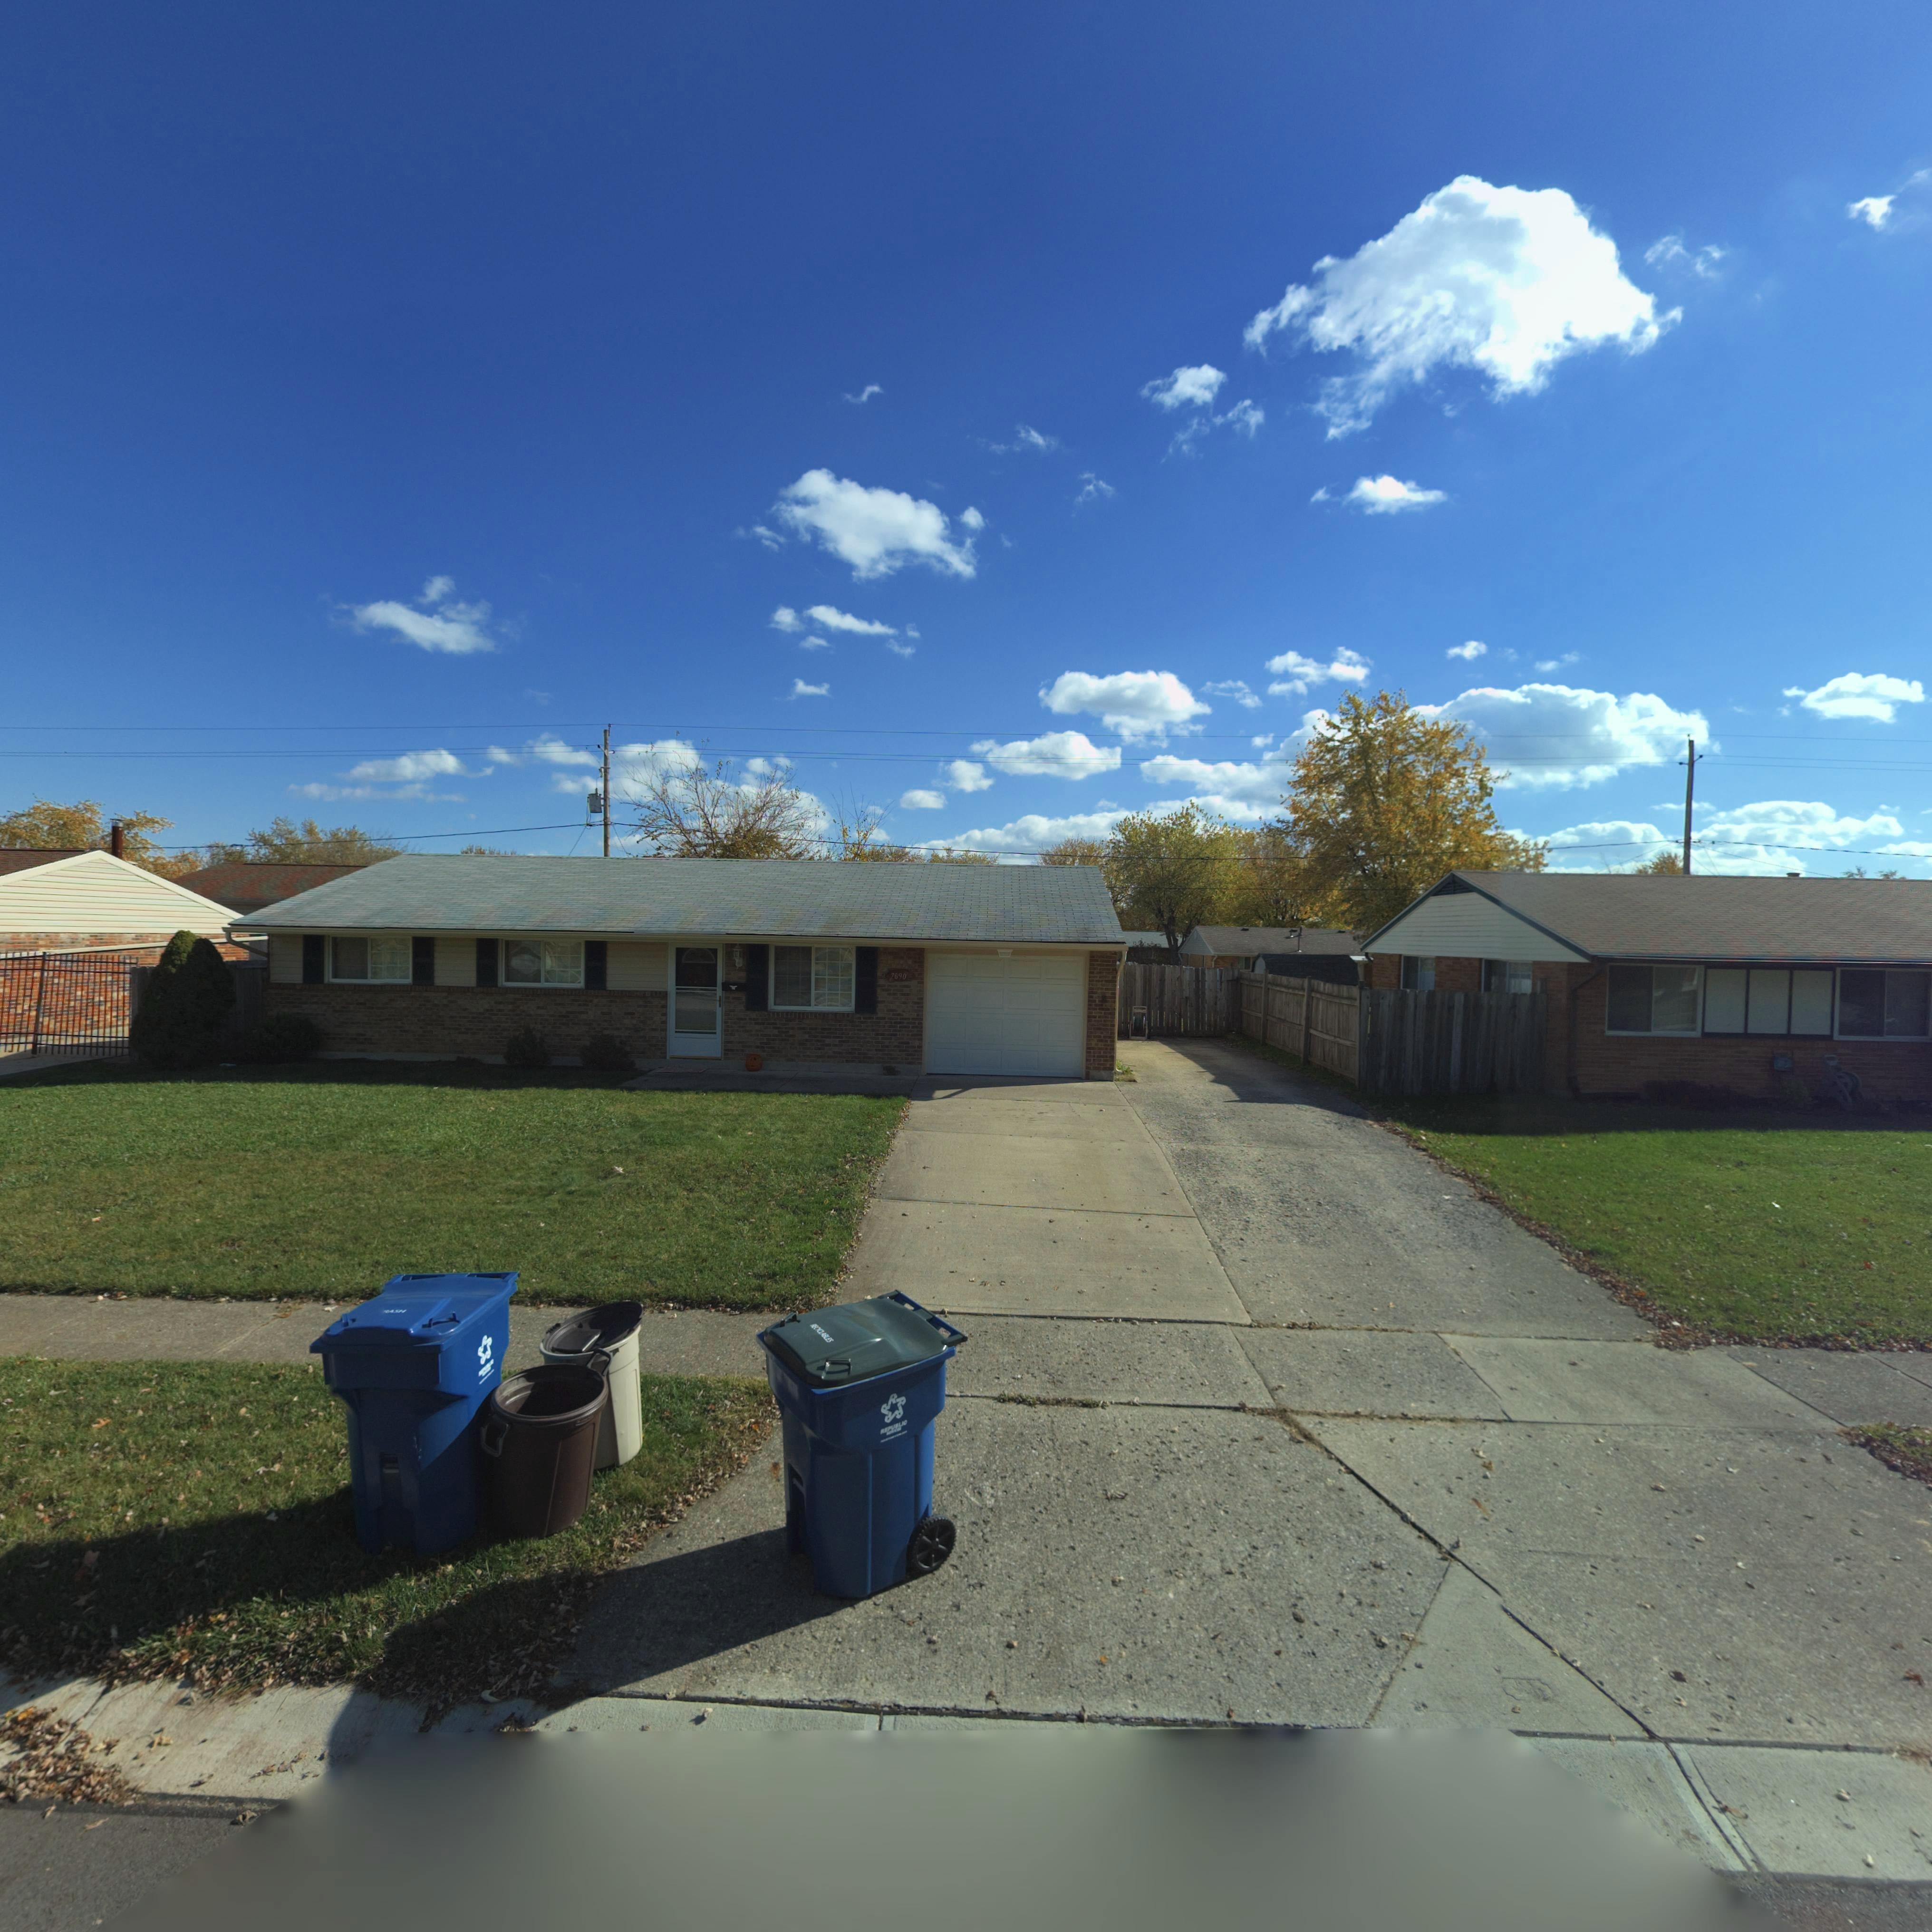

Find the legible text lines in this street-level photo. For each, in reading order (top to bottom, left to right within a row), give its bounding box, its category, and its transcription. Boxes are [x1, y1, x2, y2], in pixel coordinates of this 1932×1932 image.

[889, 971, 908, 981] StreetNumber: 7690